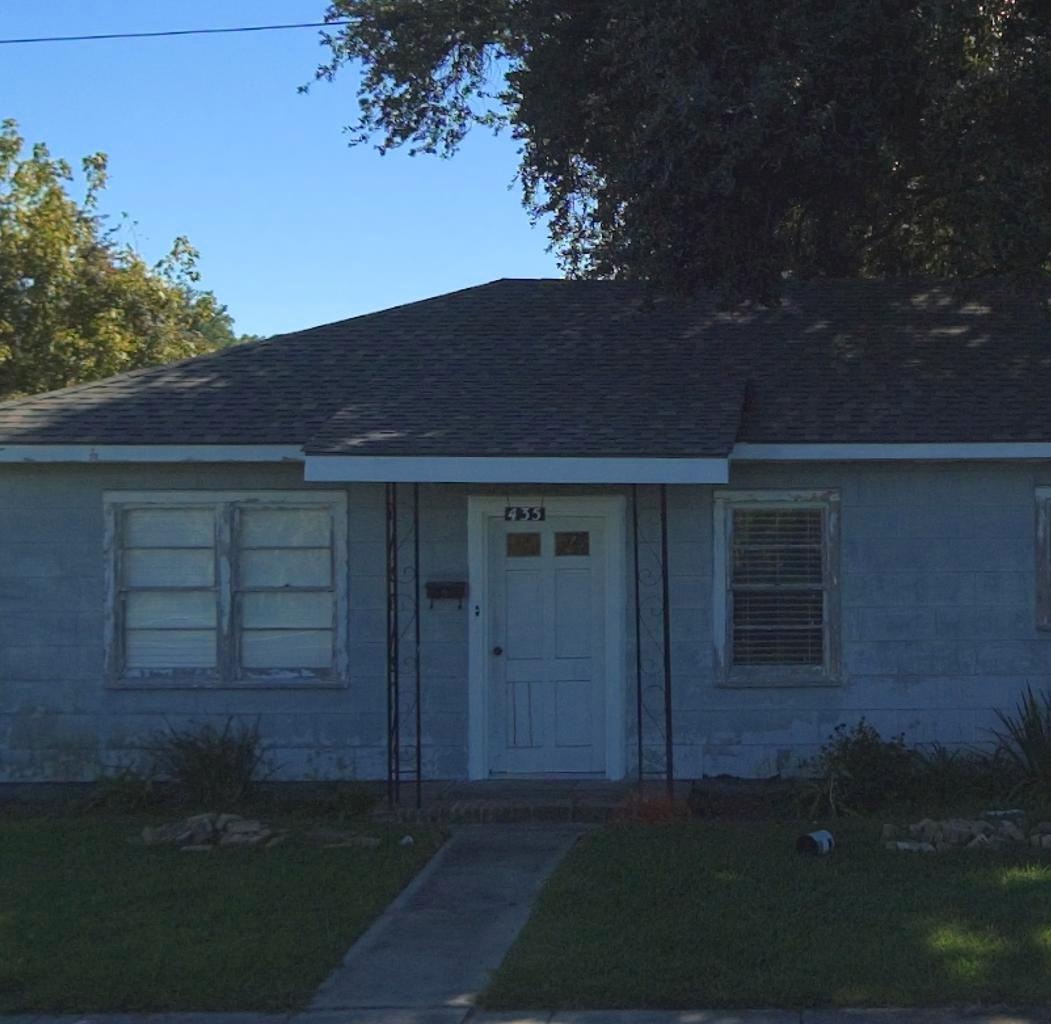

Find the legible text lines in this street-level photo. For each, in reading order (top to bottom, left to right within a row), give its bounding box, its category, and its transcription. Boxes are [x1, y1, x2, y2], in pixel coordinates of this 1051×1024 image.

[506, 506, 542, 522] StreetNumber: 435